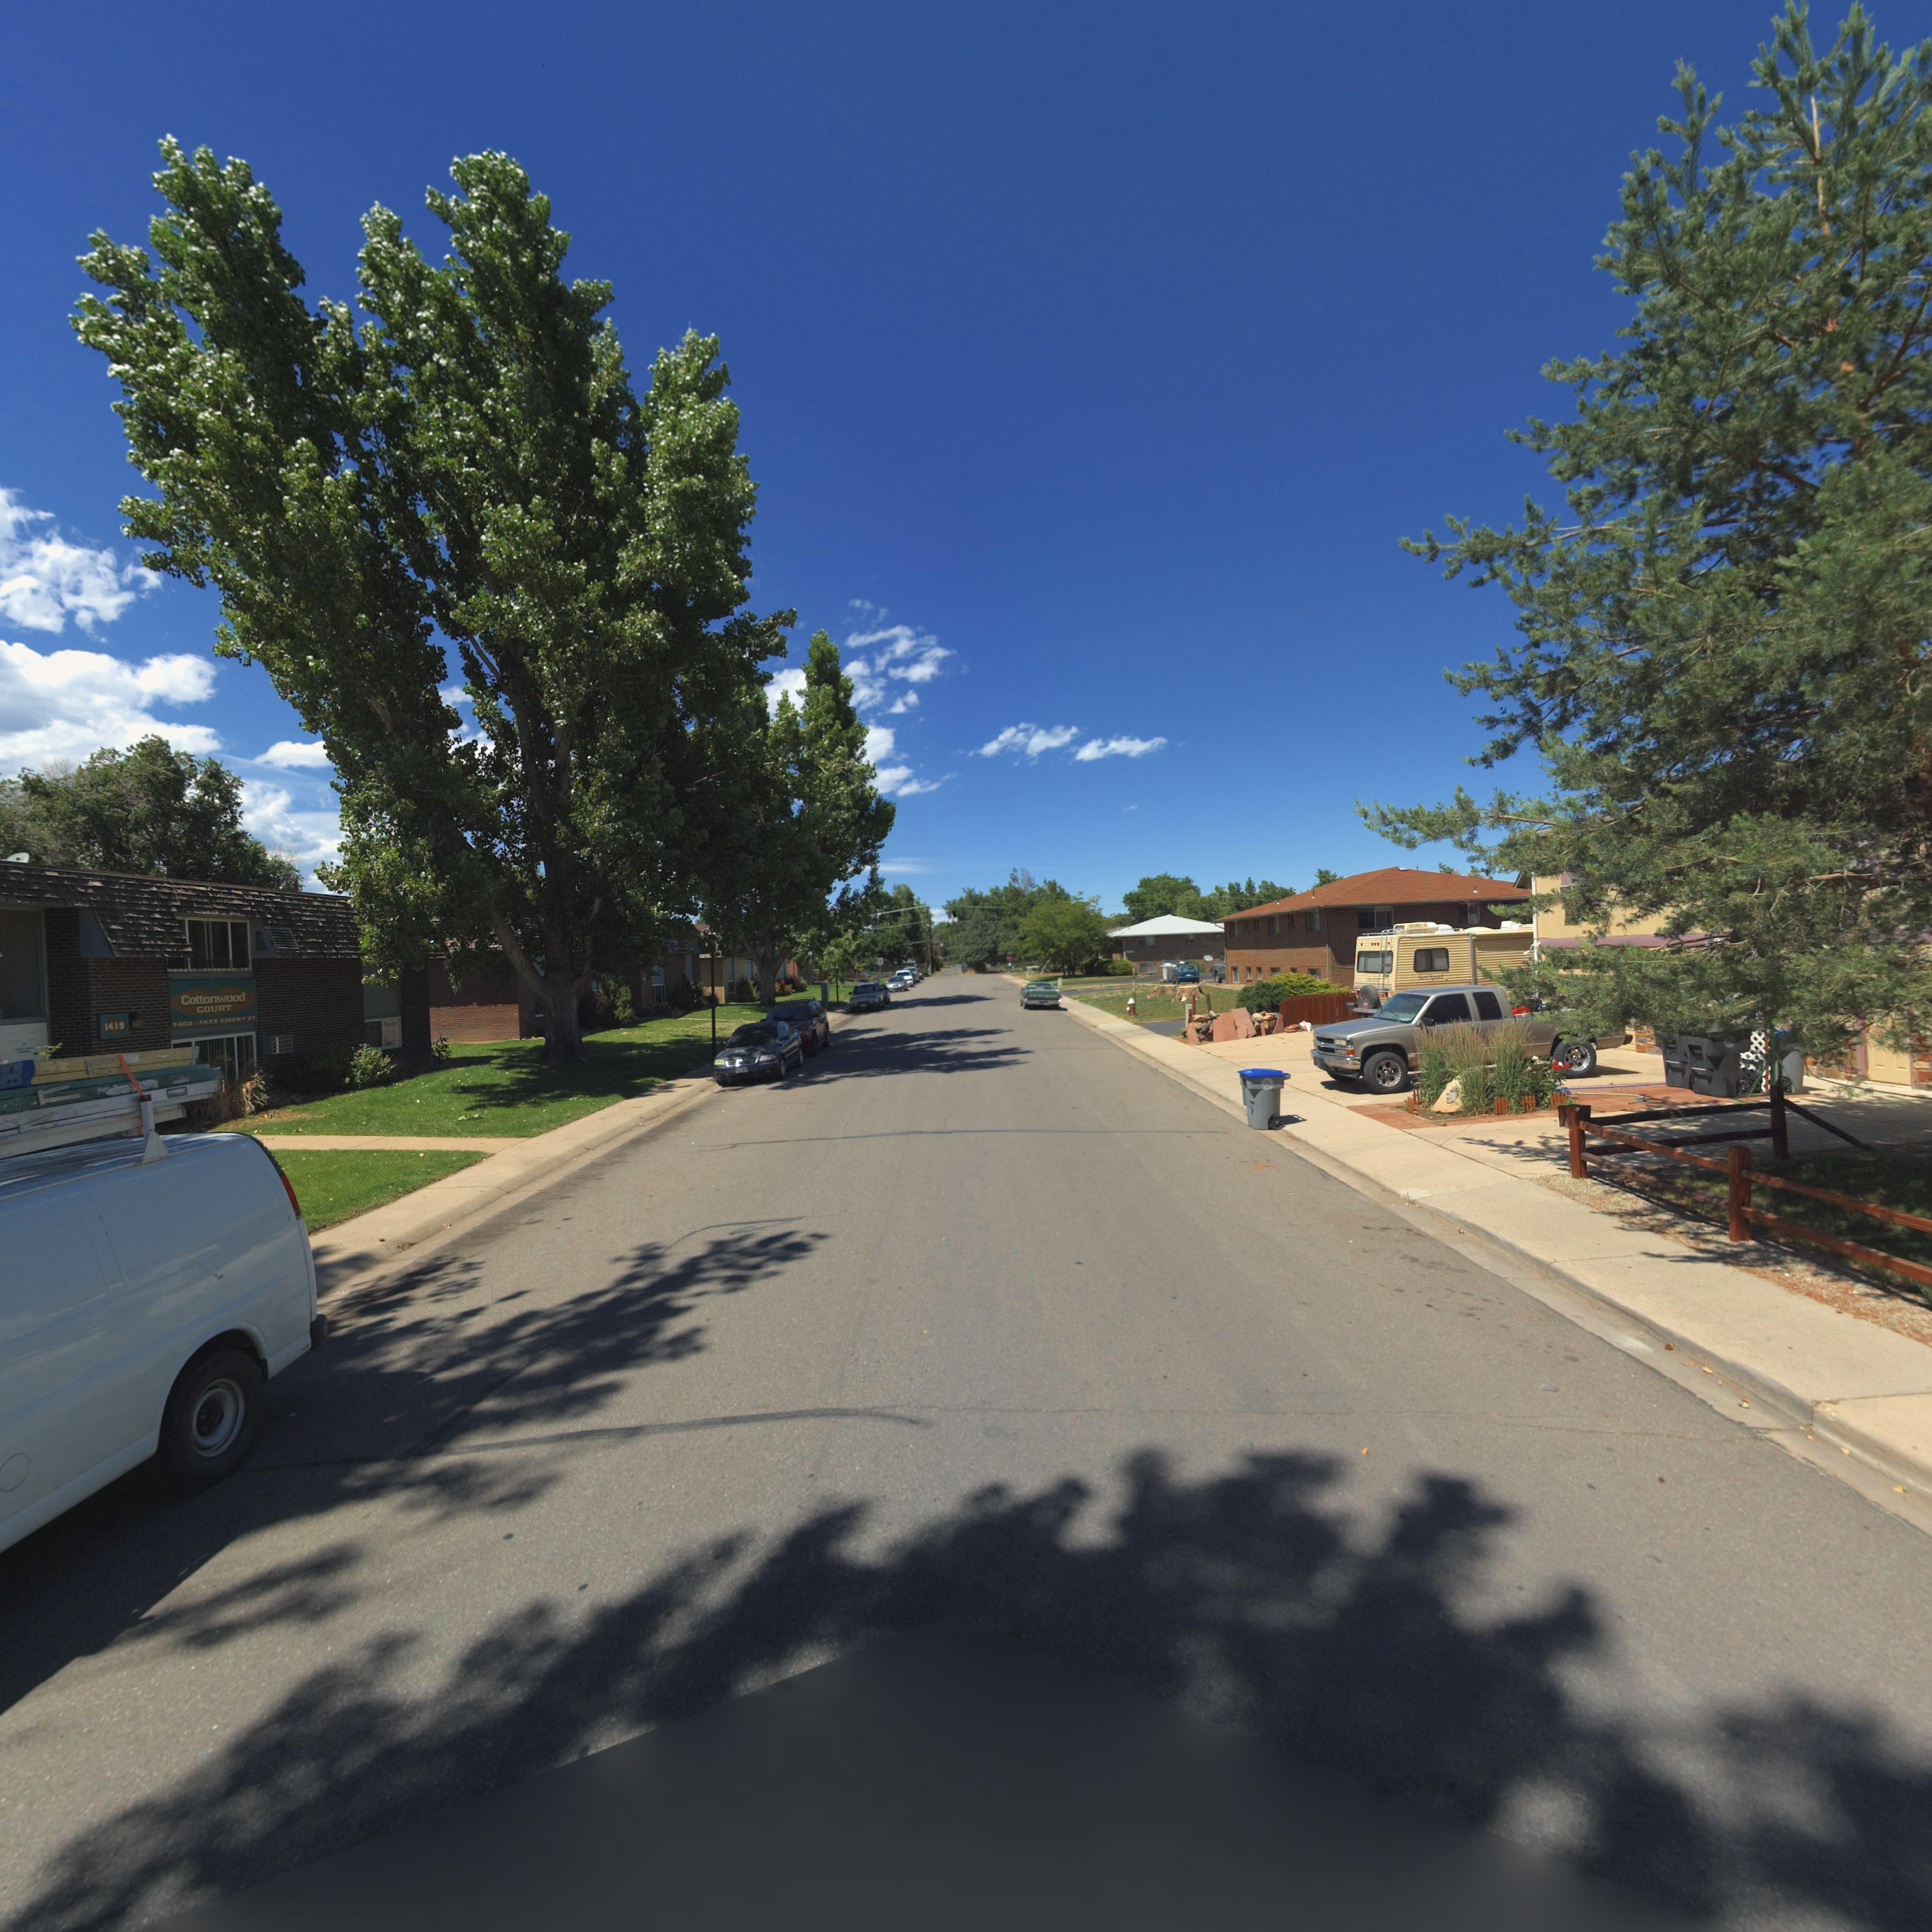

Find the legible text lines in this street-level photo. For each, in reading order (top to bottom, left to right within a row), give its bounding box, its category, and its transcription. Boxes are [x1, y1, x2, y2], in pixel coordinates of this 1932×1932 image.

[180, 992, 246, 1005] BusinessName: Cottonwood
[195, 1004, 232, 1014] BusinessName: COURT
[104, 1021, 125, 1030] StreetNumber: 1419
[172, 1018, 217, 1027] StreetNumber: 1403 - 1433
[220, 1015, 256, 1023] StreetName: EMERY ST.